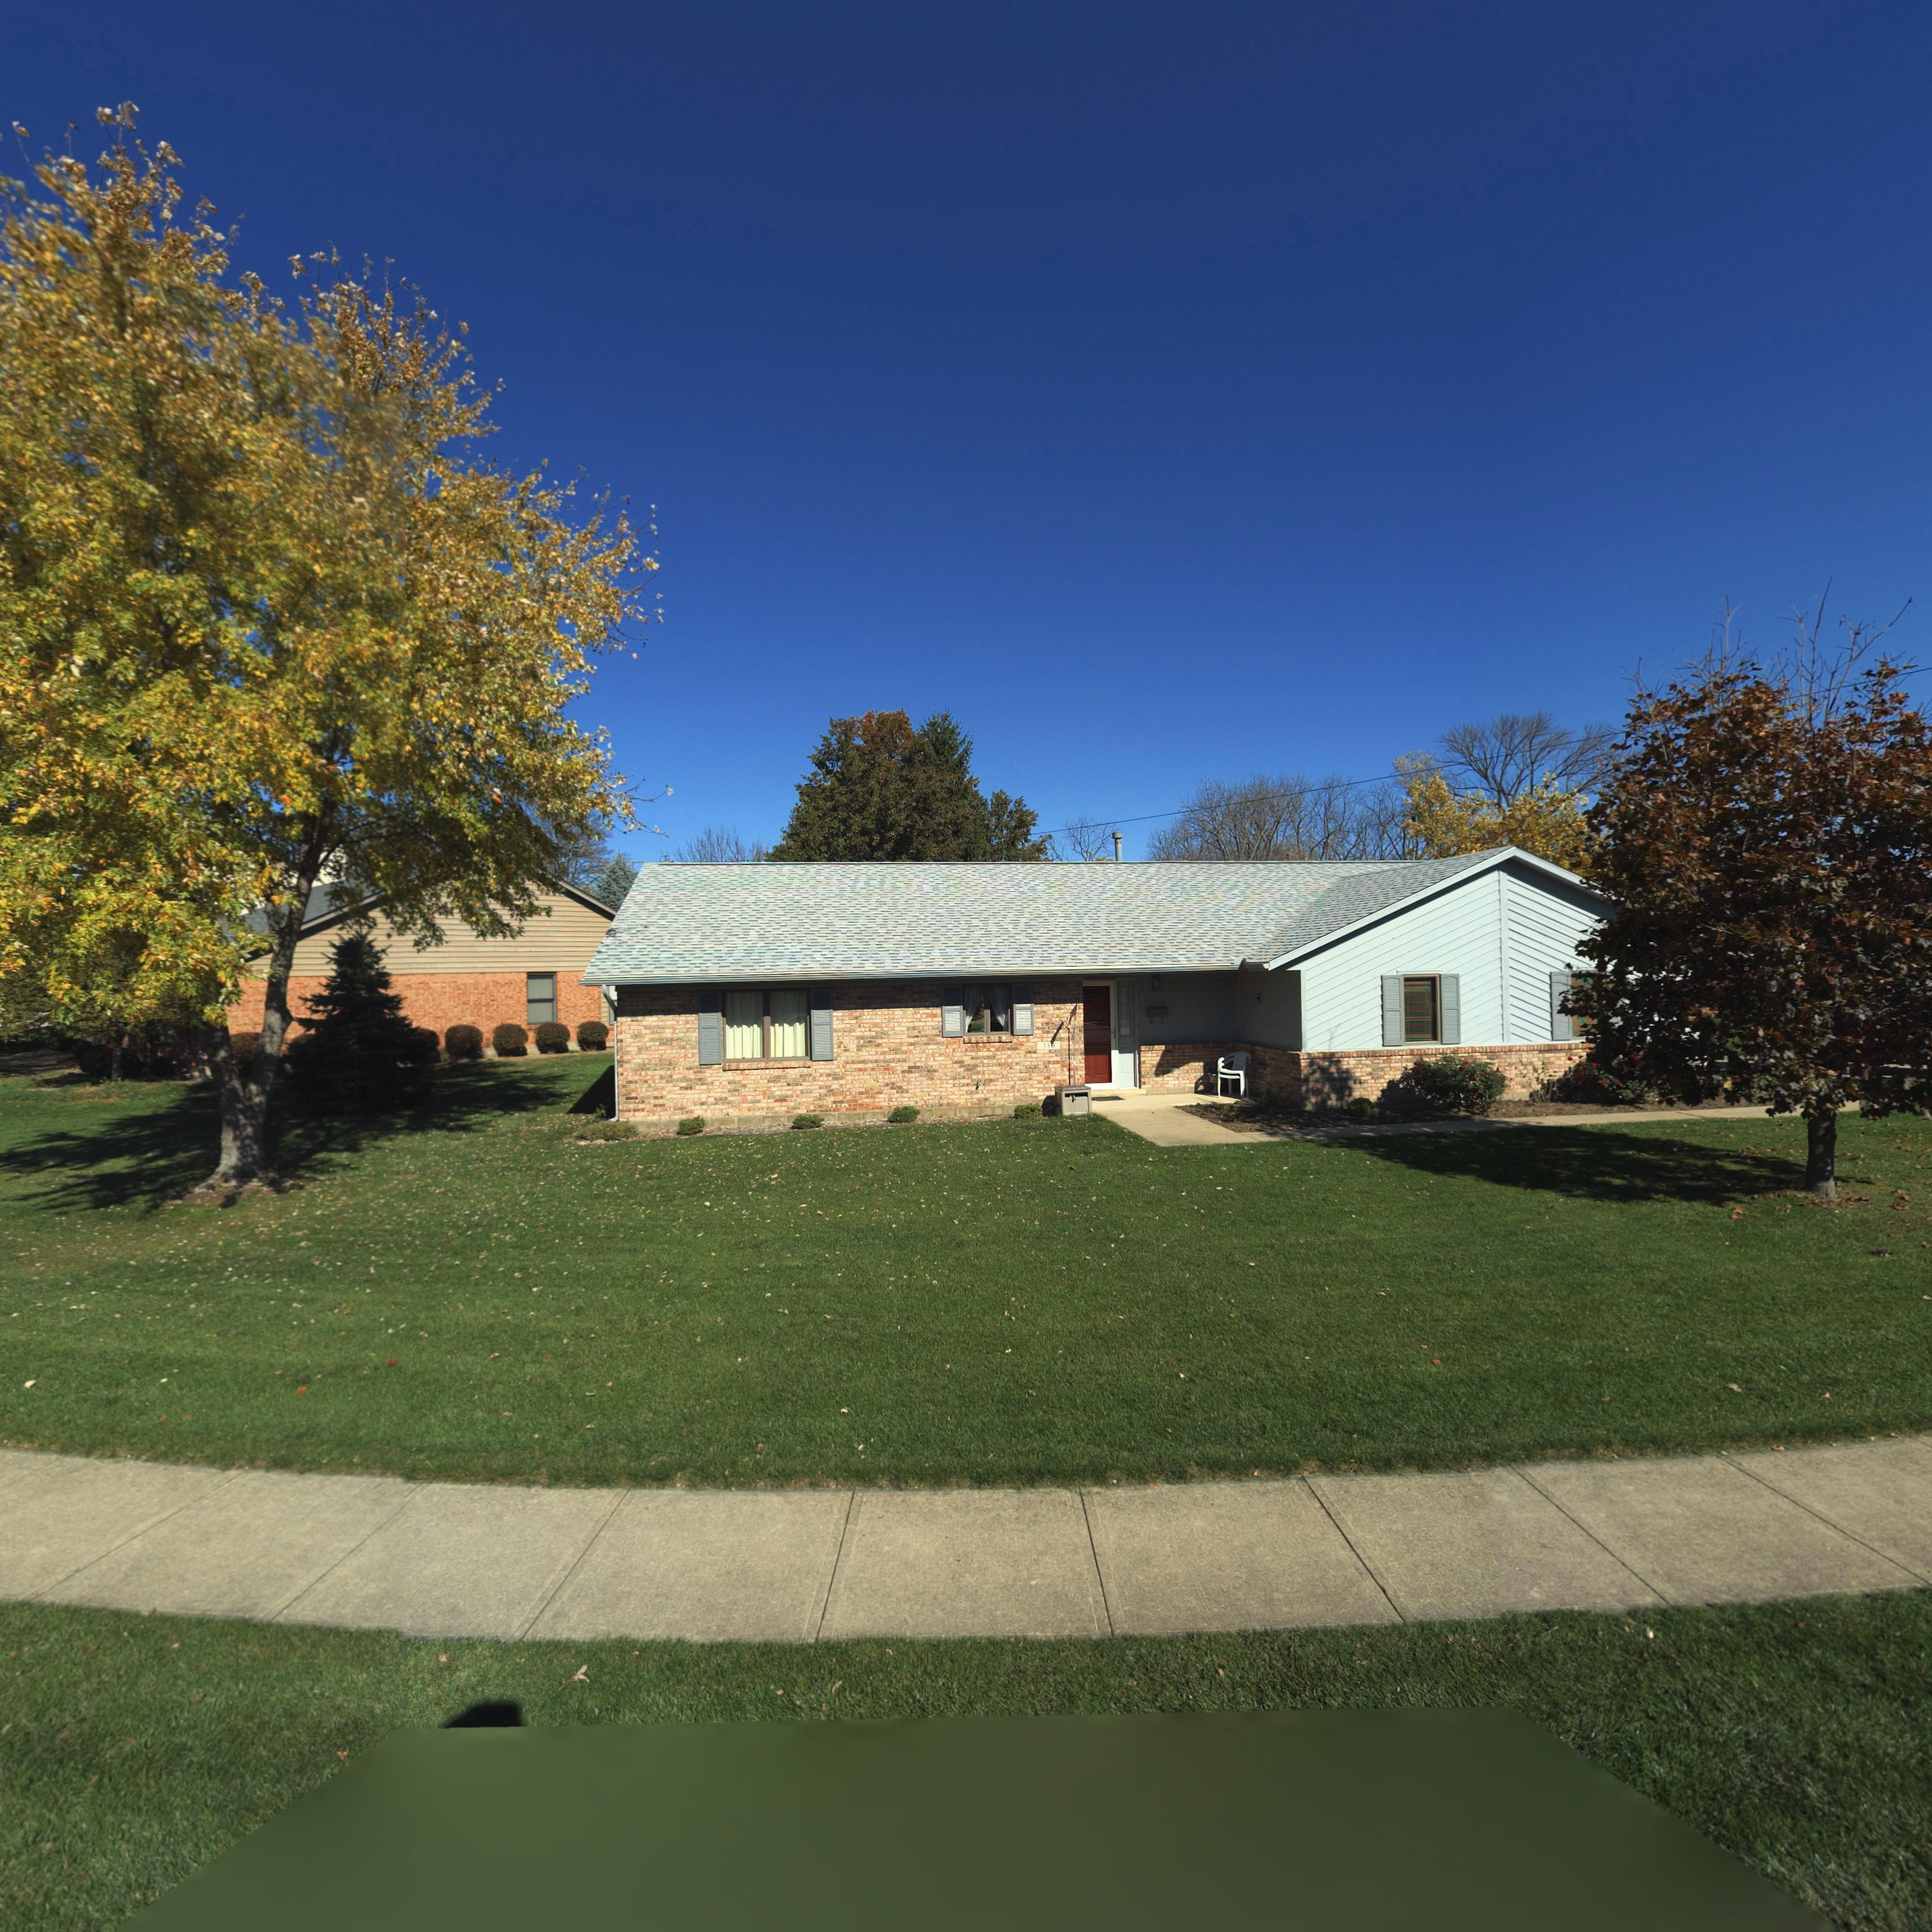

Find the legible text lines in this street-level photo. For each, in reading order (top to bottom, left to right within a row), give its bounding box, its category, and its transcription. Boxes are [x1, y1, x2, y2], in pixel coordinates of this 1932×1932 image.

[1043, 1042, 1055, 1049] StreetNumber: 350